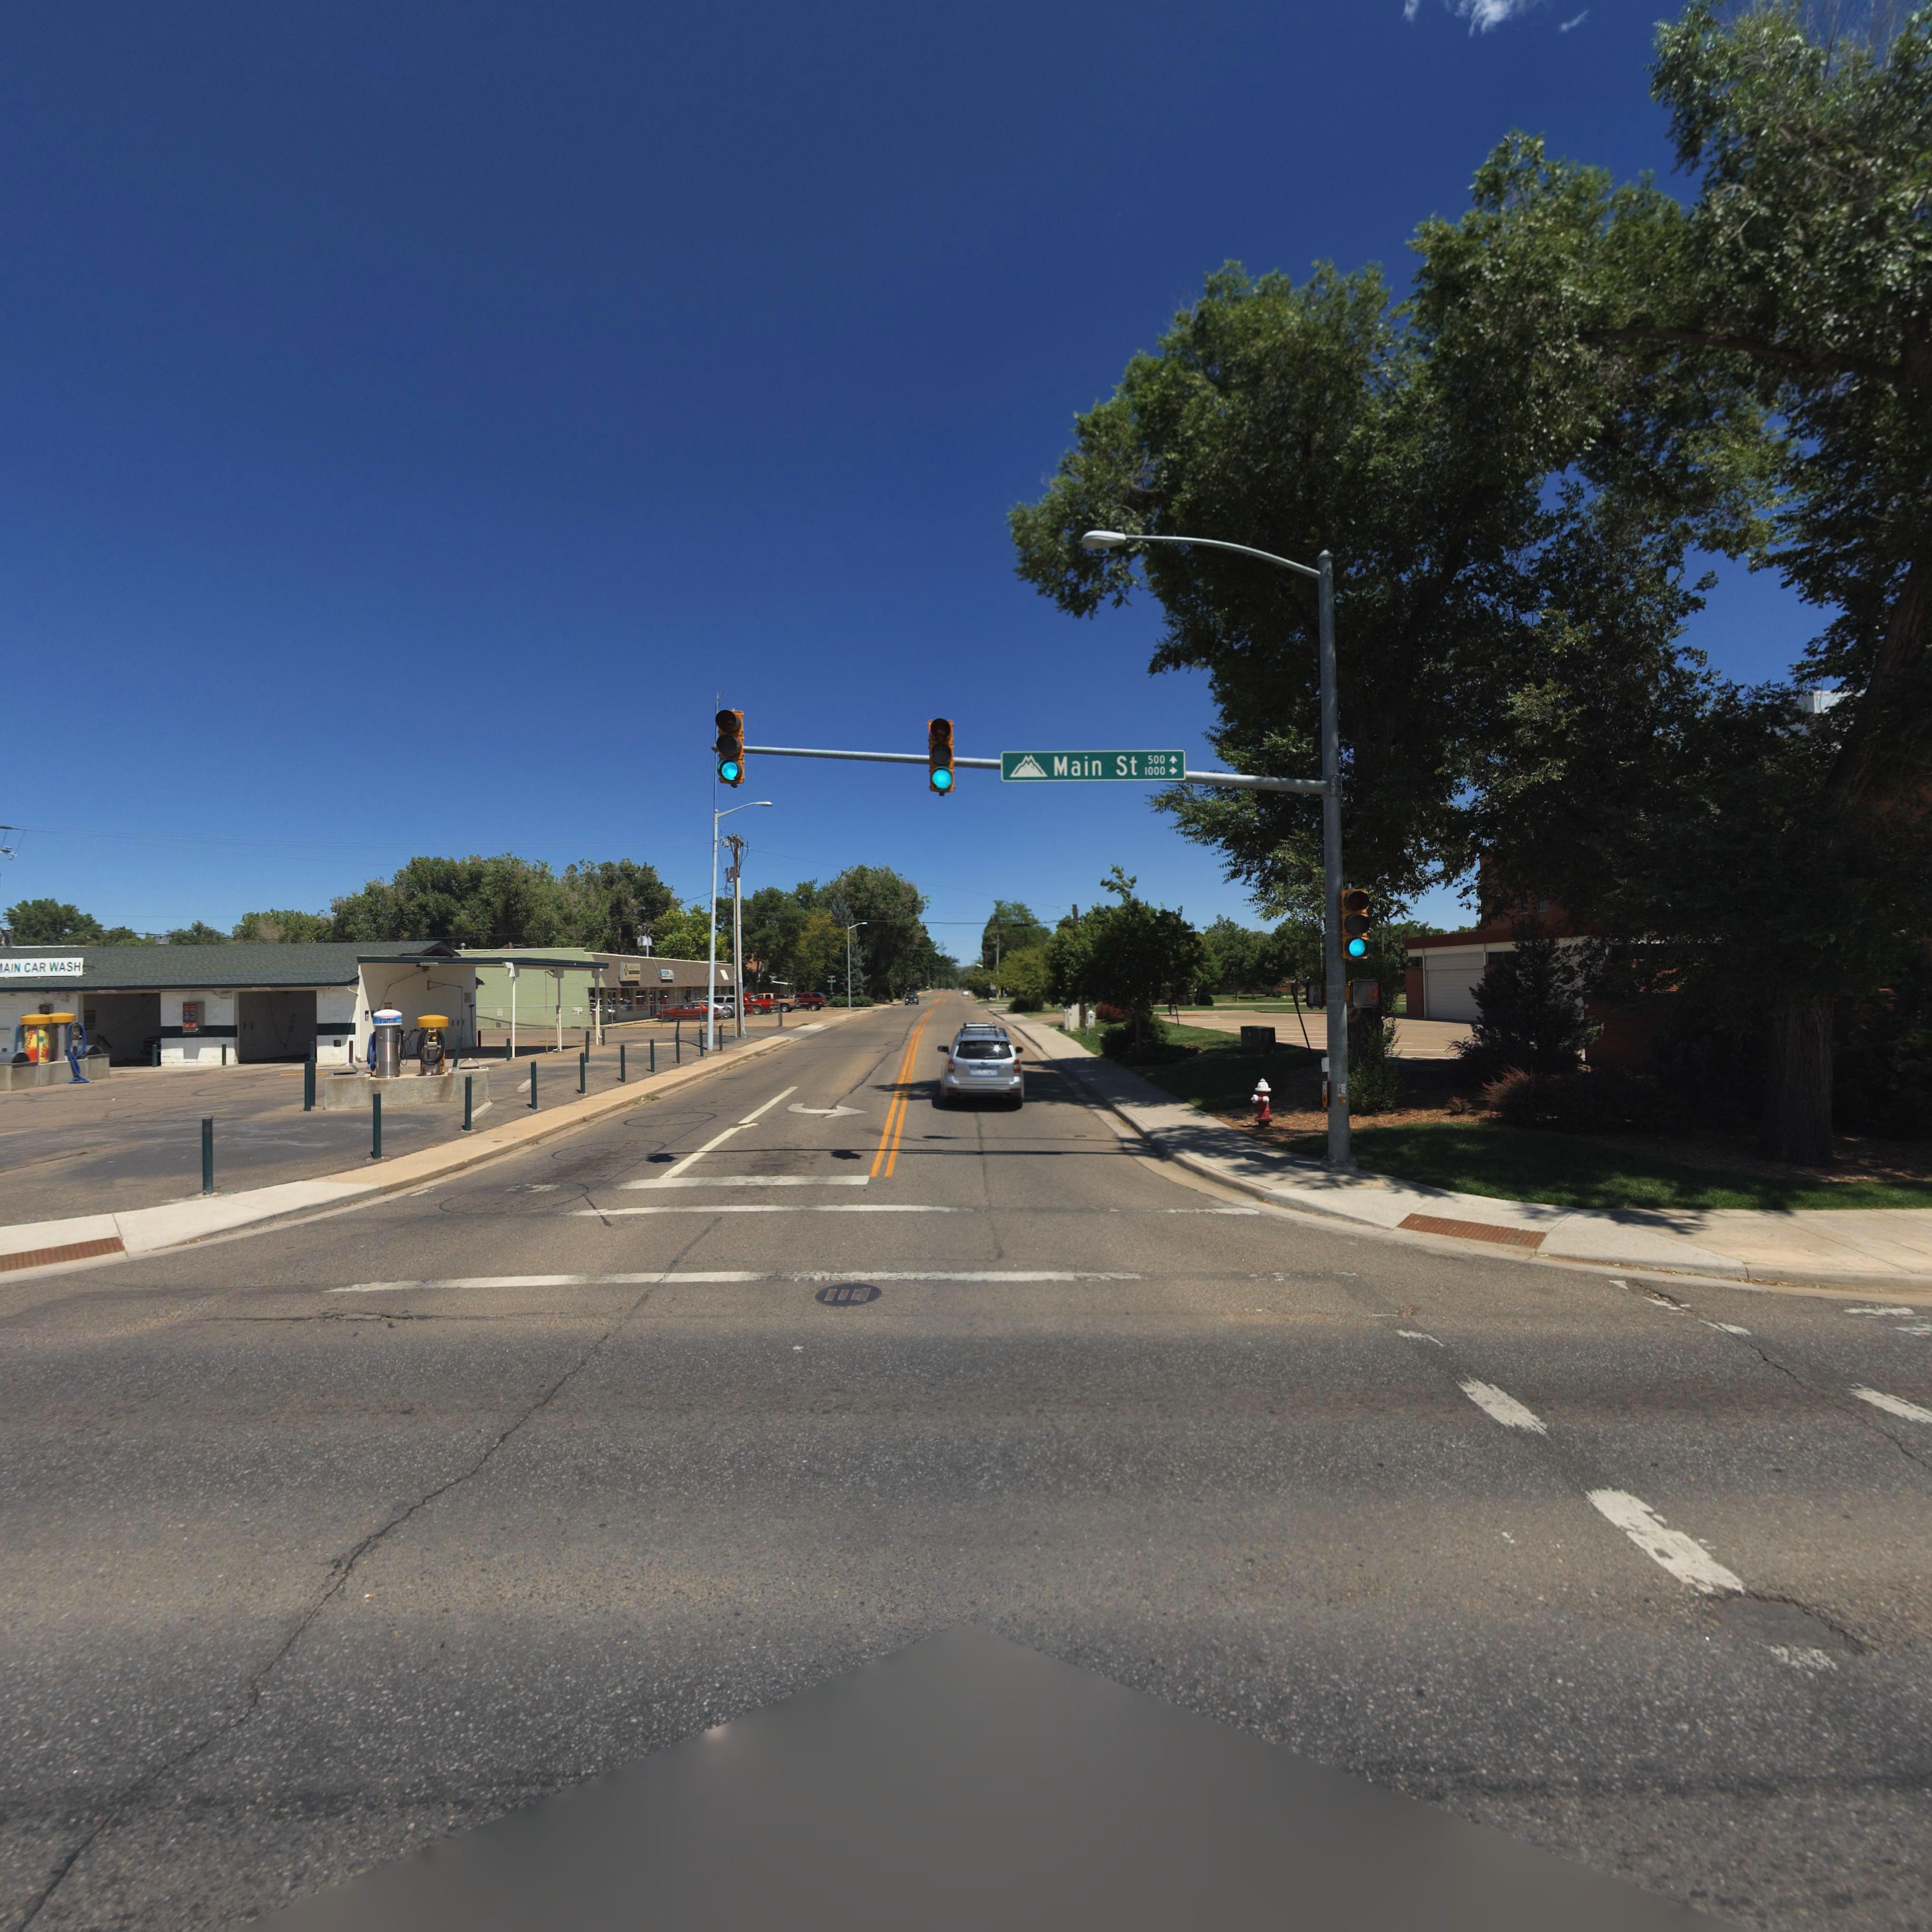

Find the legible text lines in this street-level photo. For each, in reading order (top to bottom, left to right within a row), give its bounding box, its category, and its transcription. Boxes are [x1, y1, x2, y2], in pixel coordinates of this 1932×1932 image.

[1053, 754, 1138, 776] StreetName: Main St
[1147, 754, 1165, 764] StreetNumberRange: 500
[1144, 765, 1178, 775] StreetNumberRange: 1000->
[2, 961, 81, 973] BusinessName: AIN CAR WASH